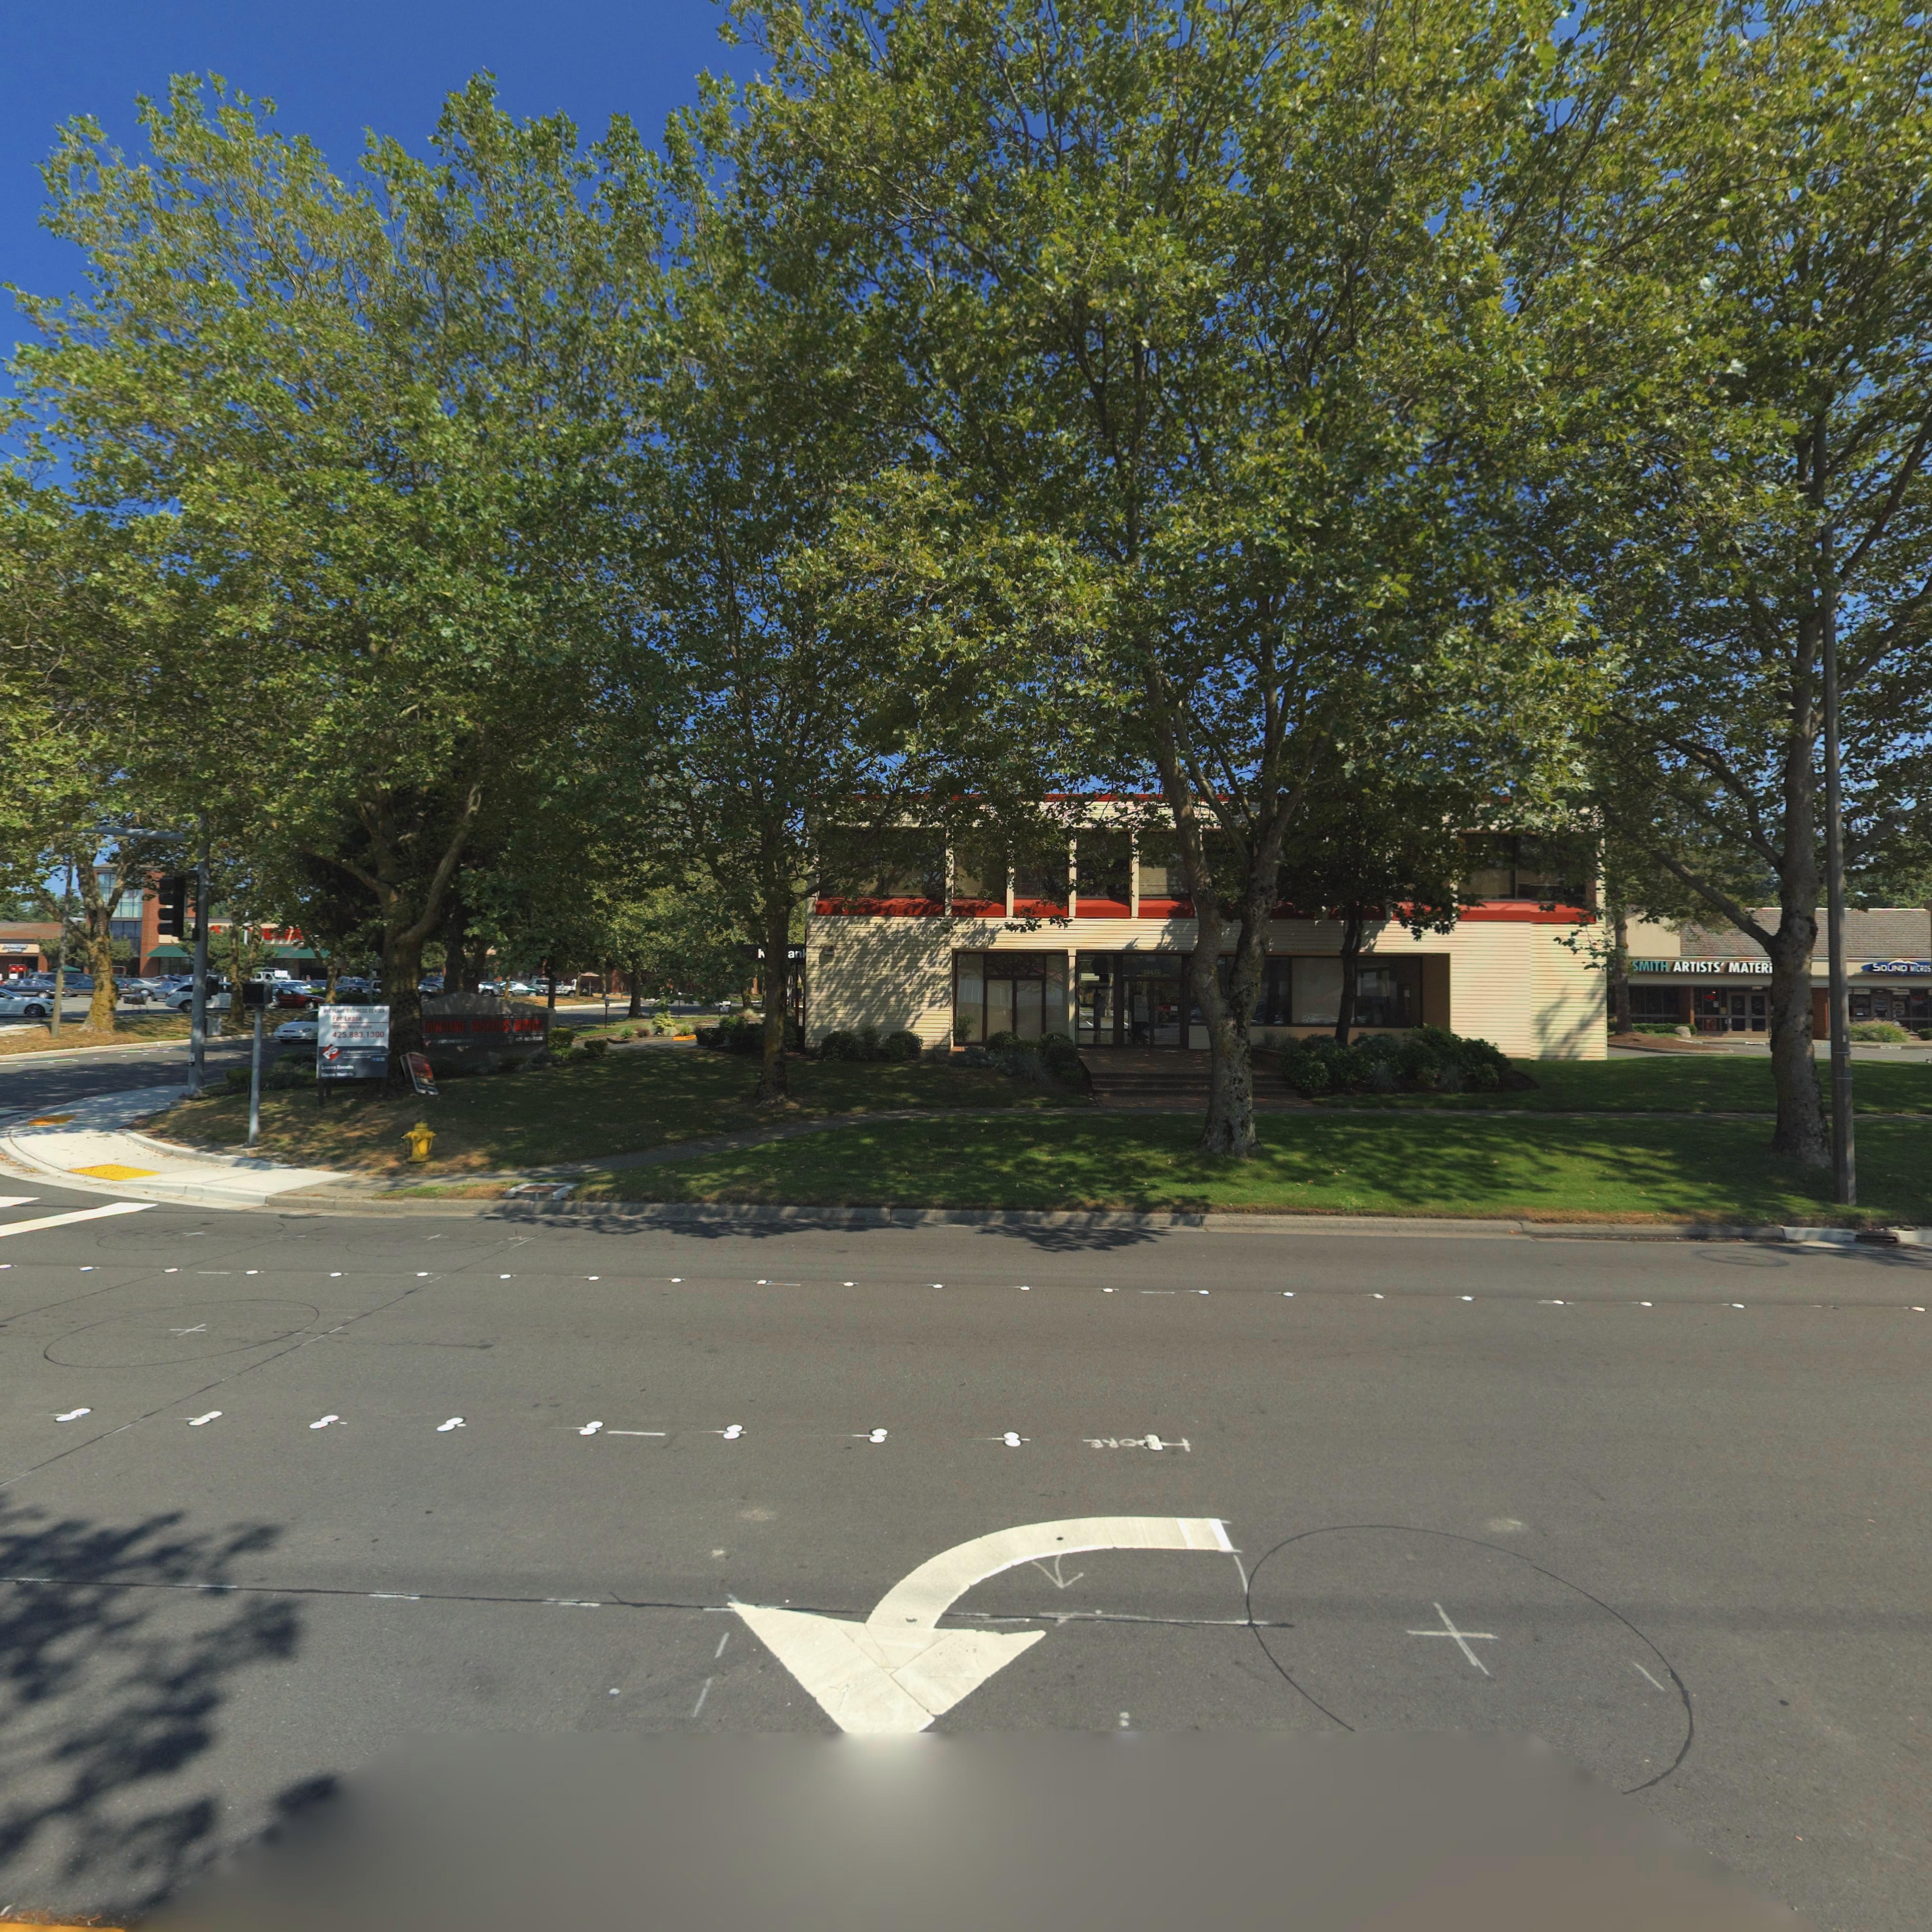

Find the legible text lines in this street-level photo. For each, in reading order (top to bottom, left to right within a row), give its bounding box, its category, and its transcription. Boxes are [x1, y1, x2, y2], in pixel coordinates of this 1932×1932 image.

[1630, 955, 1776, 974] BusinessName: SMITH ARTISTS' MATERI*